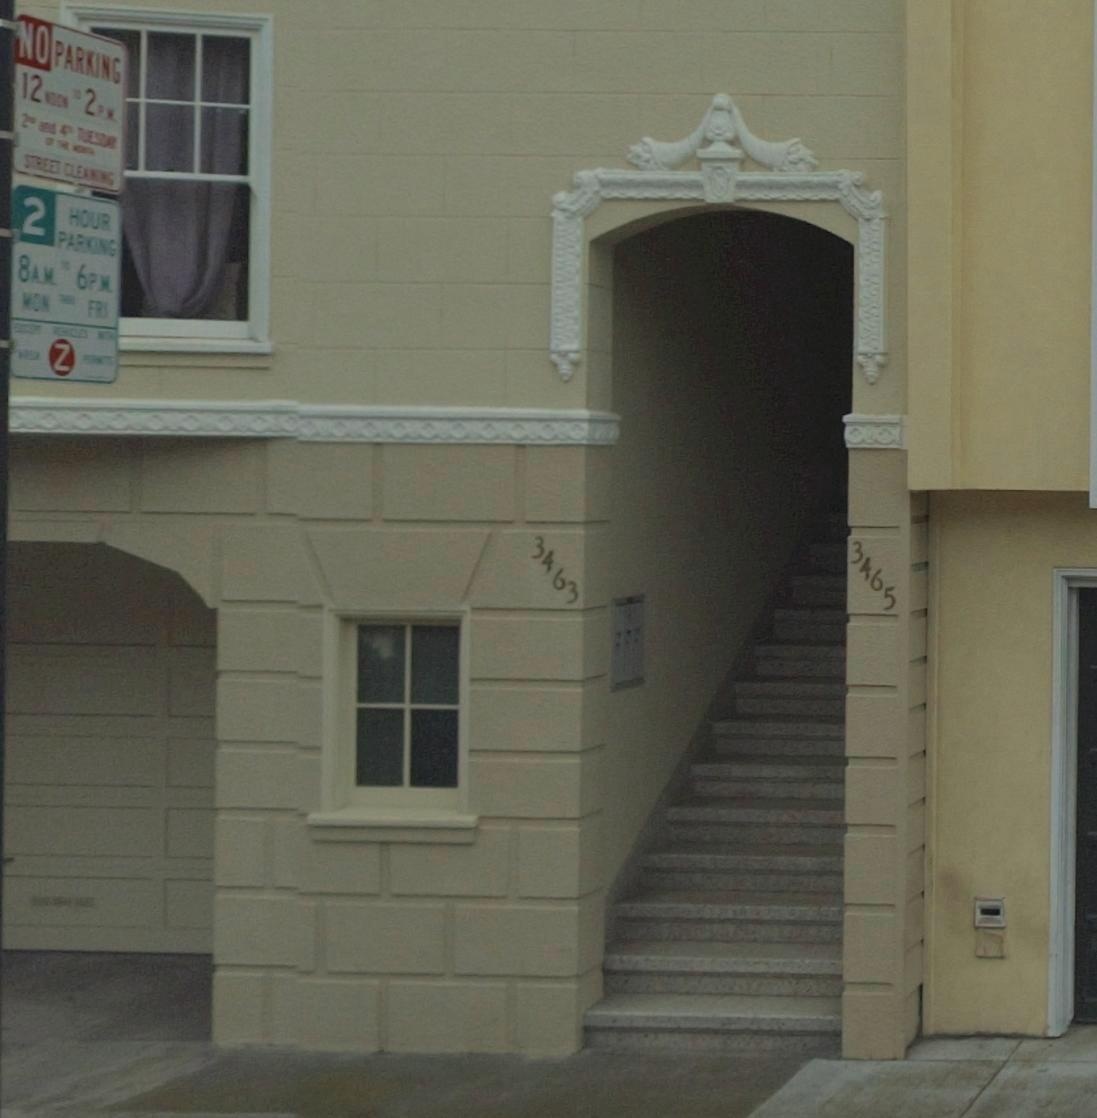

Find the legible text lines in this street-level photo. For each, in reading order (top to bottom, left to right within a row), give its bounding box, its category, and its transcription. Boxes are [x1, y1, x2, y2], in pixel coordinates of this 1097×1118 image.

[17, 17, 123, 87] None: NO PARKING
[20, 68, 118, 122] None: 12NOON*2PM
[20, 151, 117, 189] None: STREET CLEANING
[19, 193, 48, 239] None: 2
[66, 203, 116, 234] None: HOUR
[55, 227, 119, 259] None: PARKING
[16, 250, 59, 288] None: 8AM
[72, 259, 113, 294] None: 6PM
[20, 288, 54, 315] None: MON
[85, 298, 112, 321] None: FRI
[51, 339, 74, 375] None: Z
[530, 534, 579, 606] StreetNumber: 3463
[850, 539, 898, 612] StreetNumber: 3465